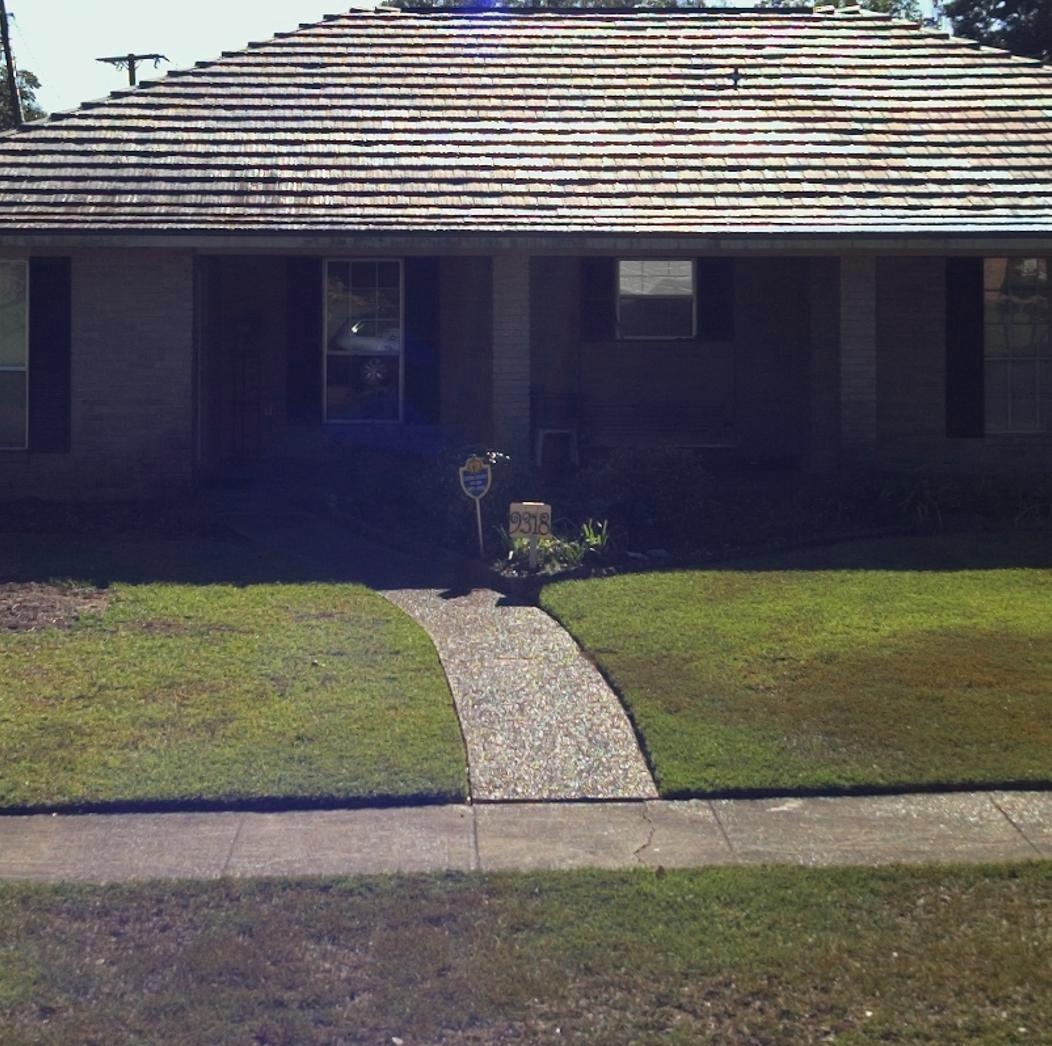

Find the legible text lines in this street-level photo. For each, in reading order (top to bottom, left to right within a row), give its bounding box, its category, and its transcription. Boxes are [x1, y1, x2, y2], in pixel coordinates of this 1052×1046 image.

[510, 510, 551, 535] StreetNumber: 9318